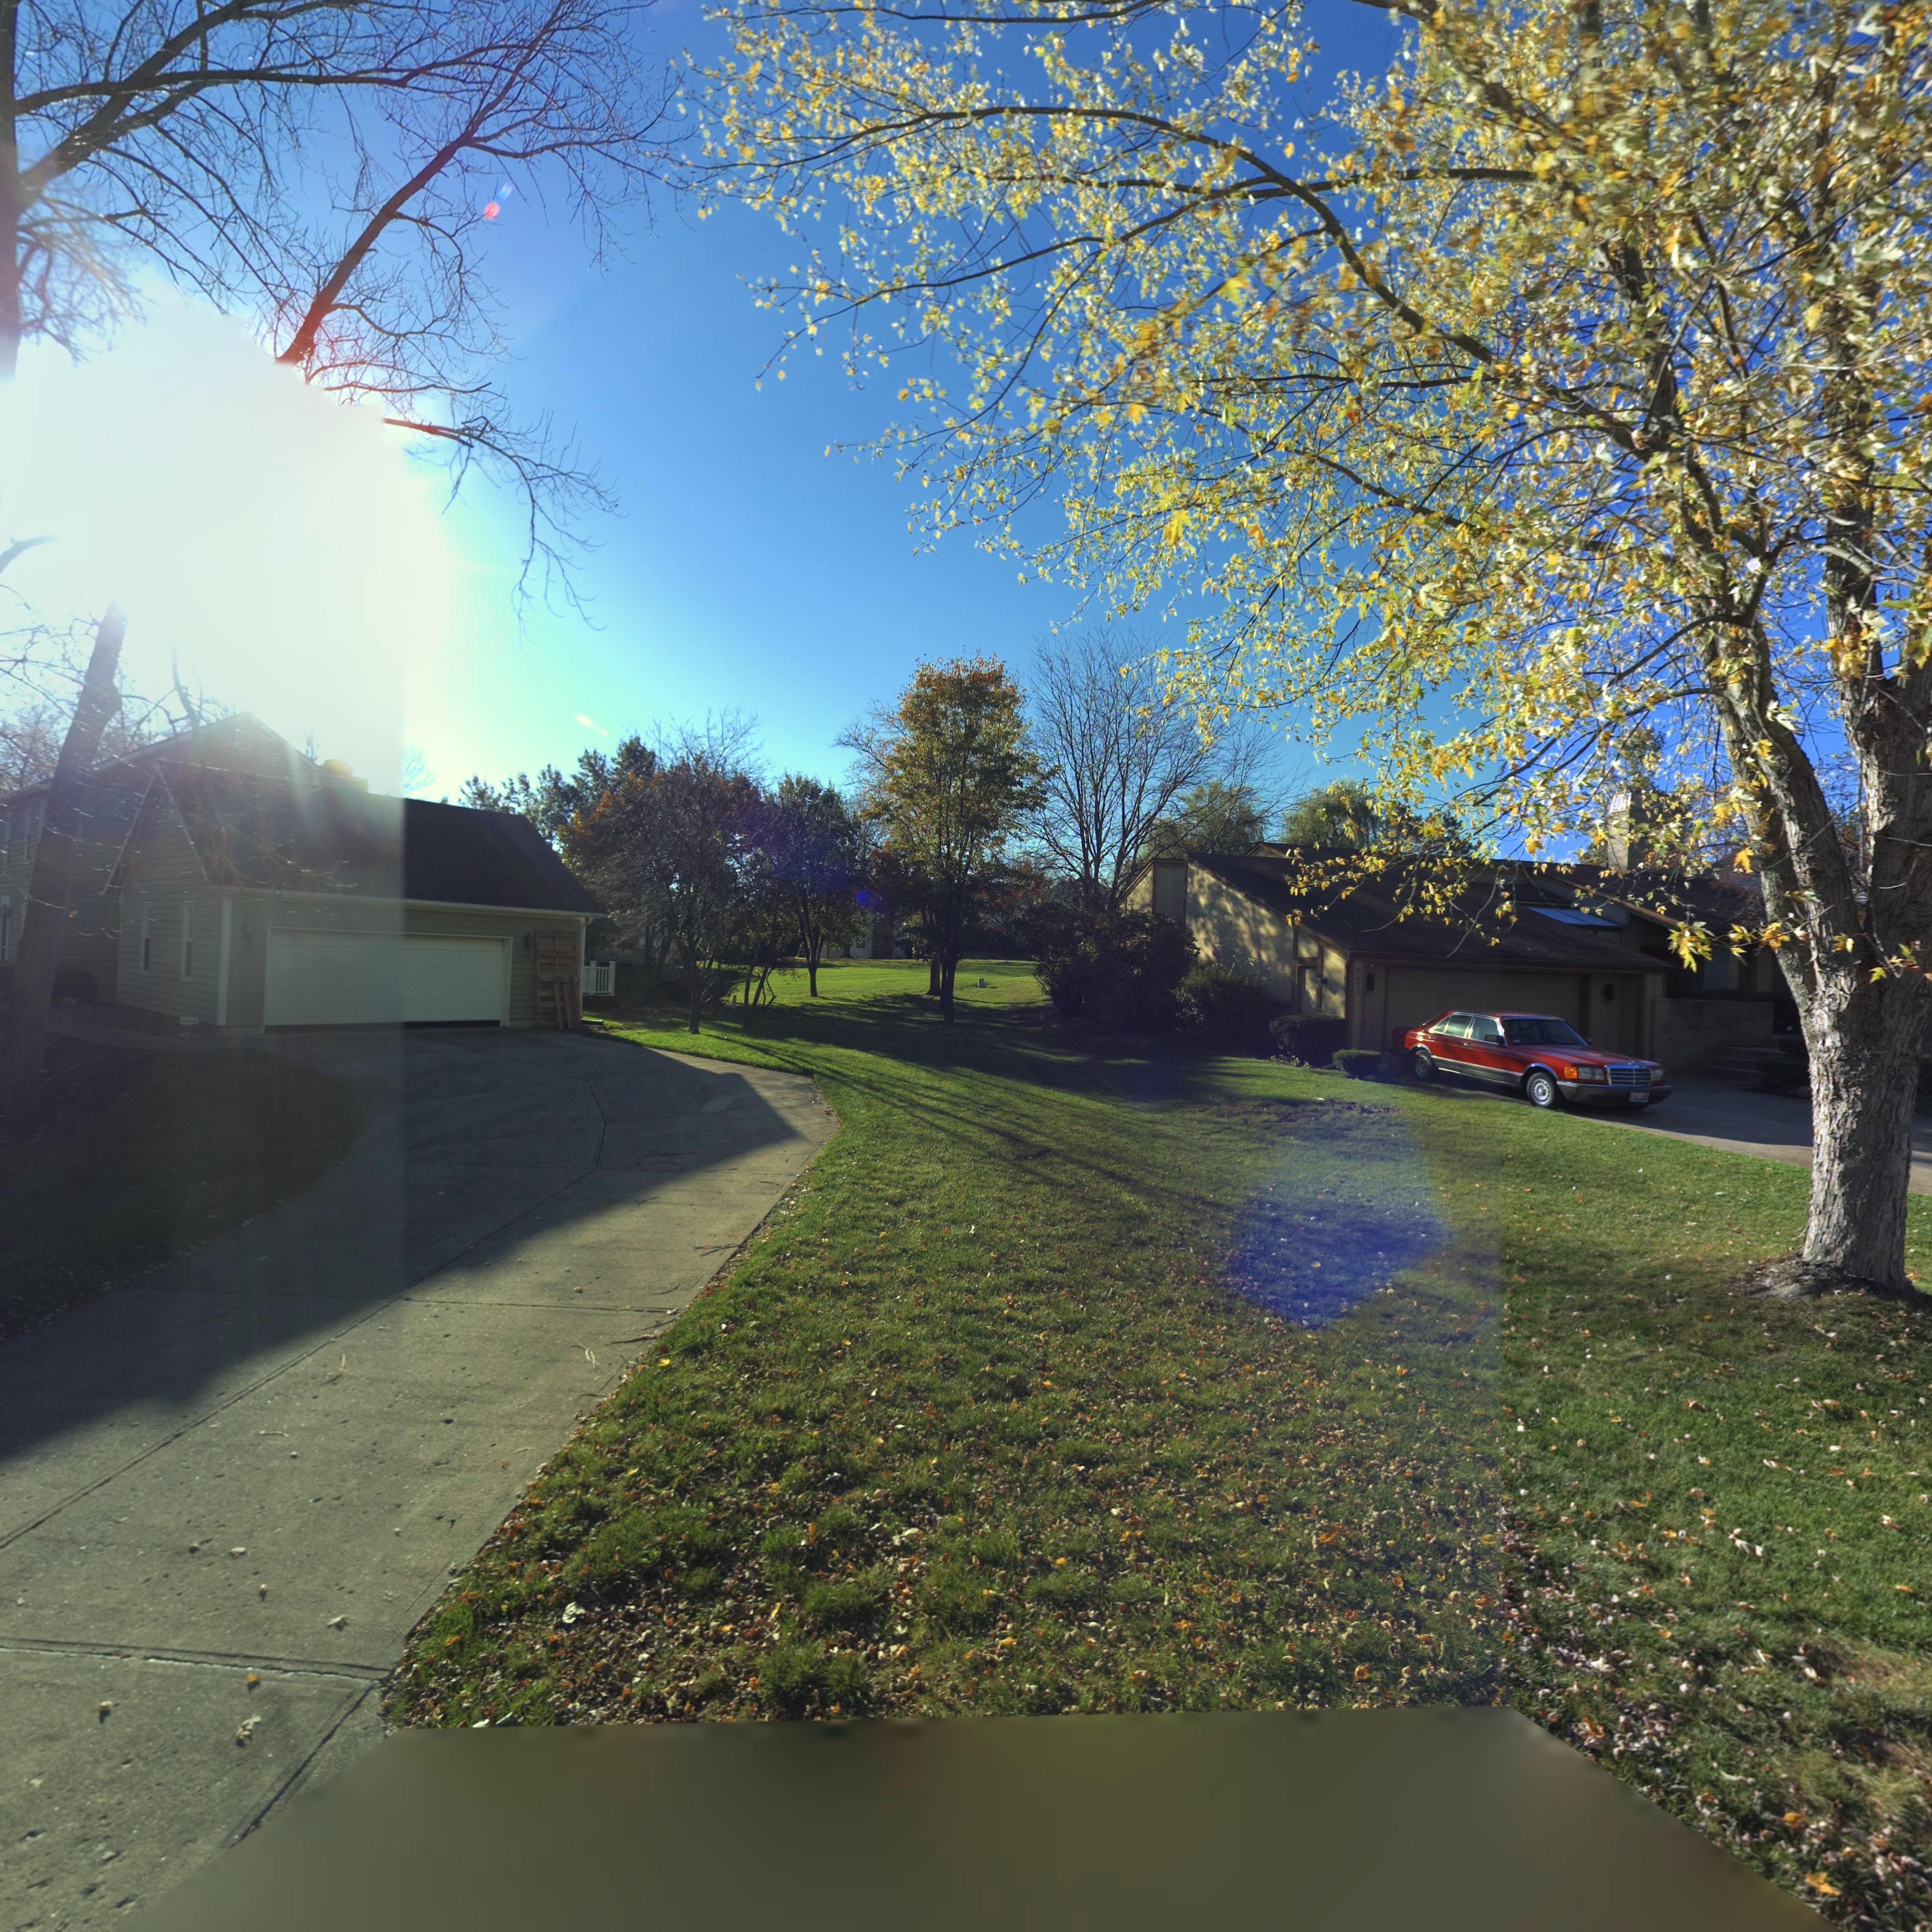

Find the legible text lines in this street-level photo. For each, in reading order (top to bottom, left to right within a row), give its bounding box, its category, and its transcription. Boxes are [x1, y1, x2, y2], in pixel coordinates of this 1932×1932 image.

[1354, 966, 1362, 996] StreetNumber: 5077